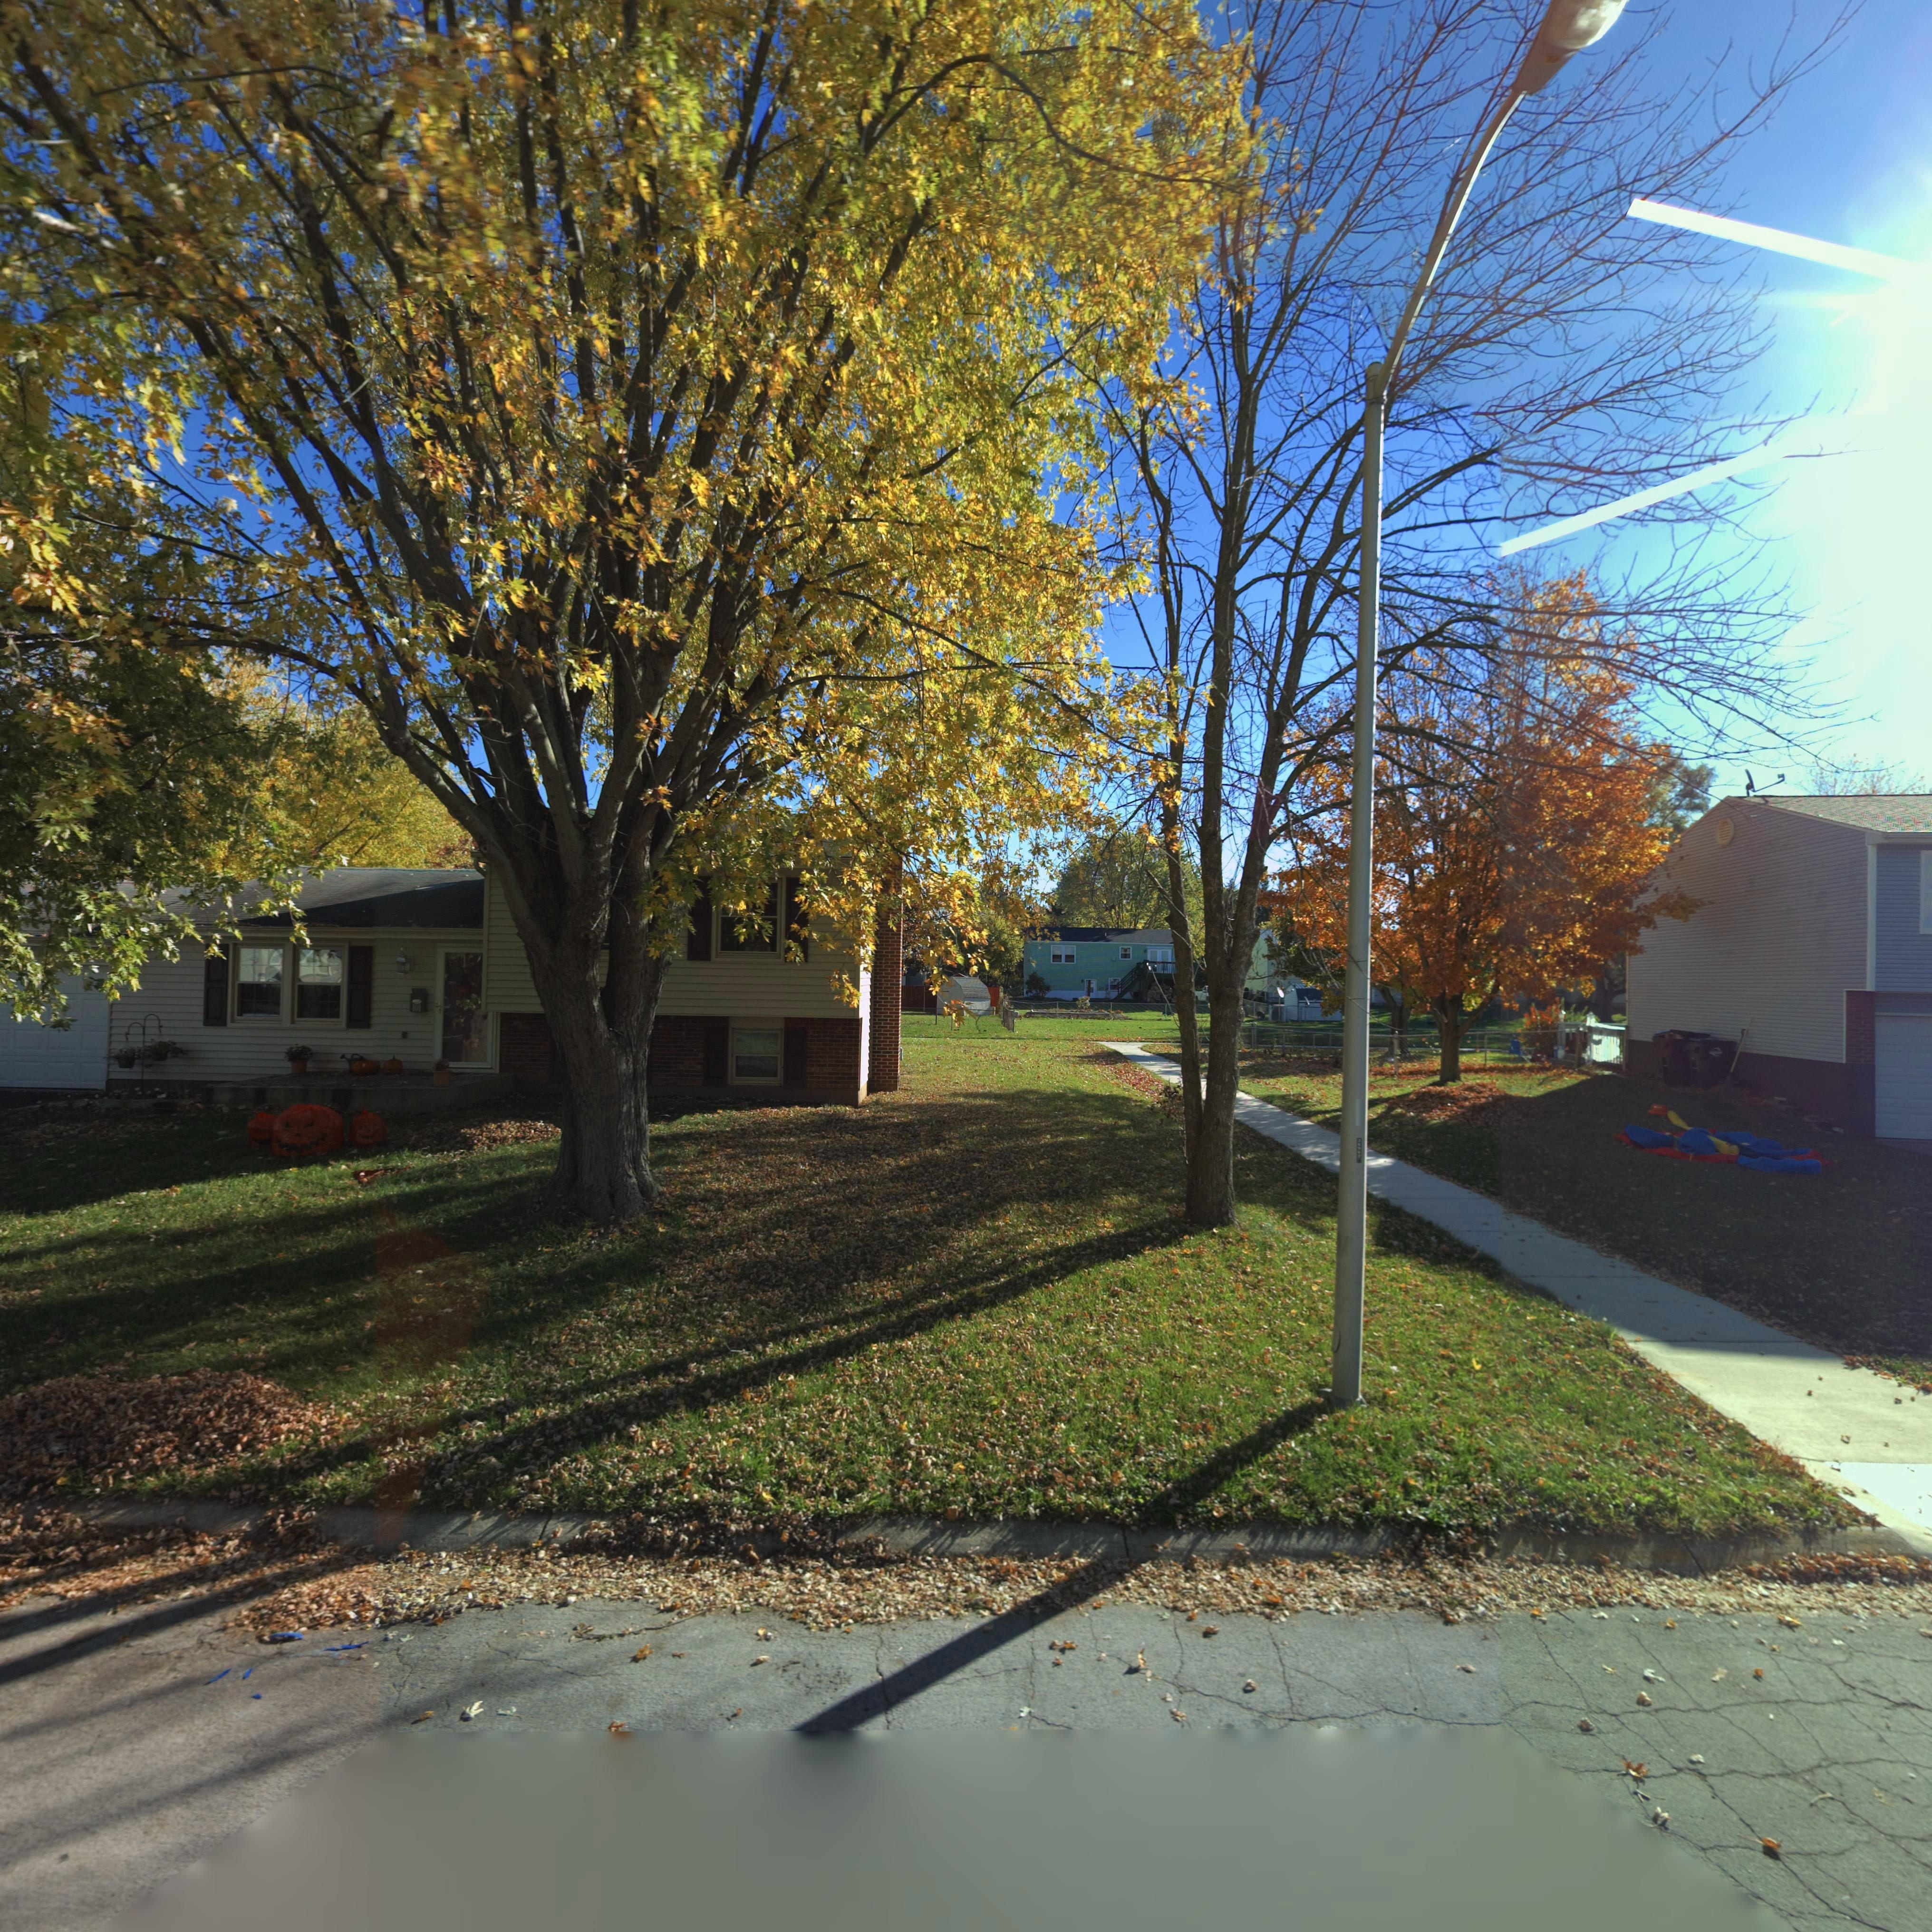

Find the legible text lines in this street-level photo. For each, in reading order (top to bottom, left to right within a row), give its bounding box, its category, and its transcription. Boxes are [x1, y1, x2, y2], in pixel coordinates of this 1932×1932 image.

[412, 1004, 421, 1012] StreetNumber: 101